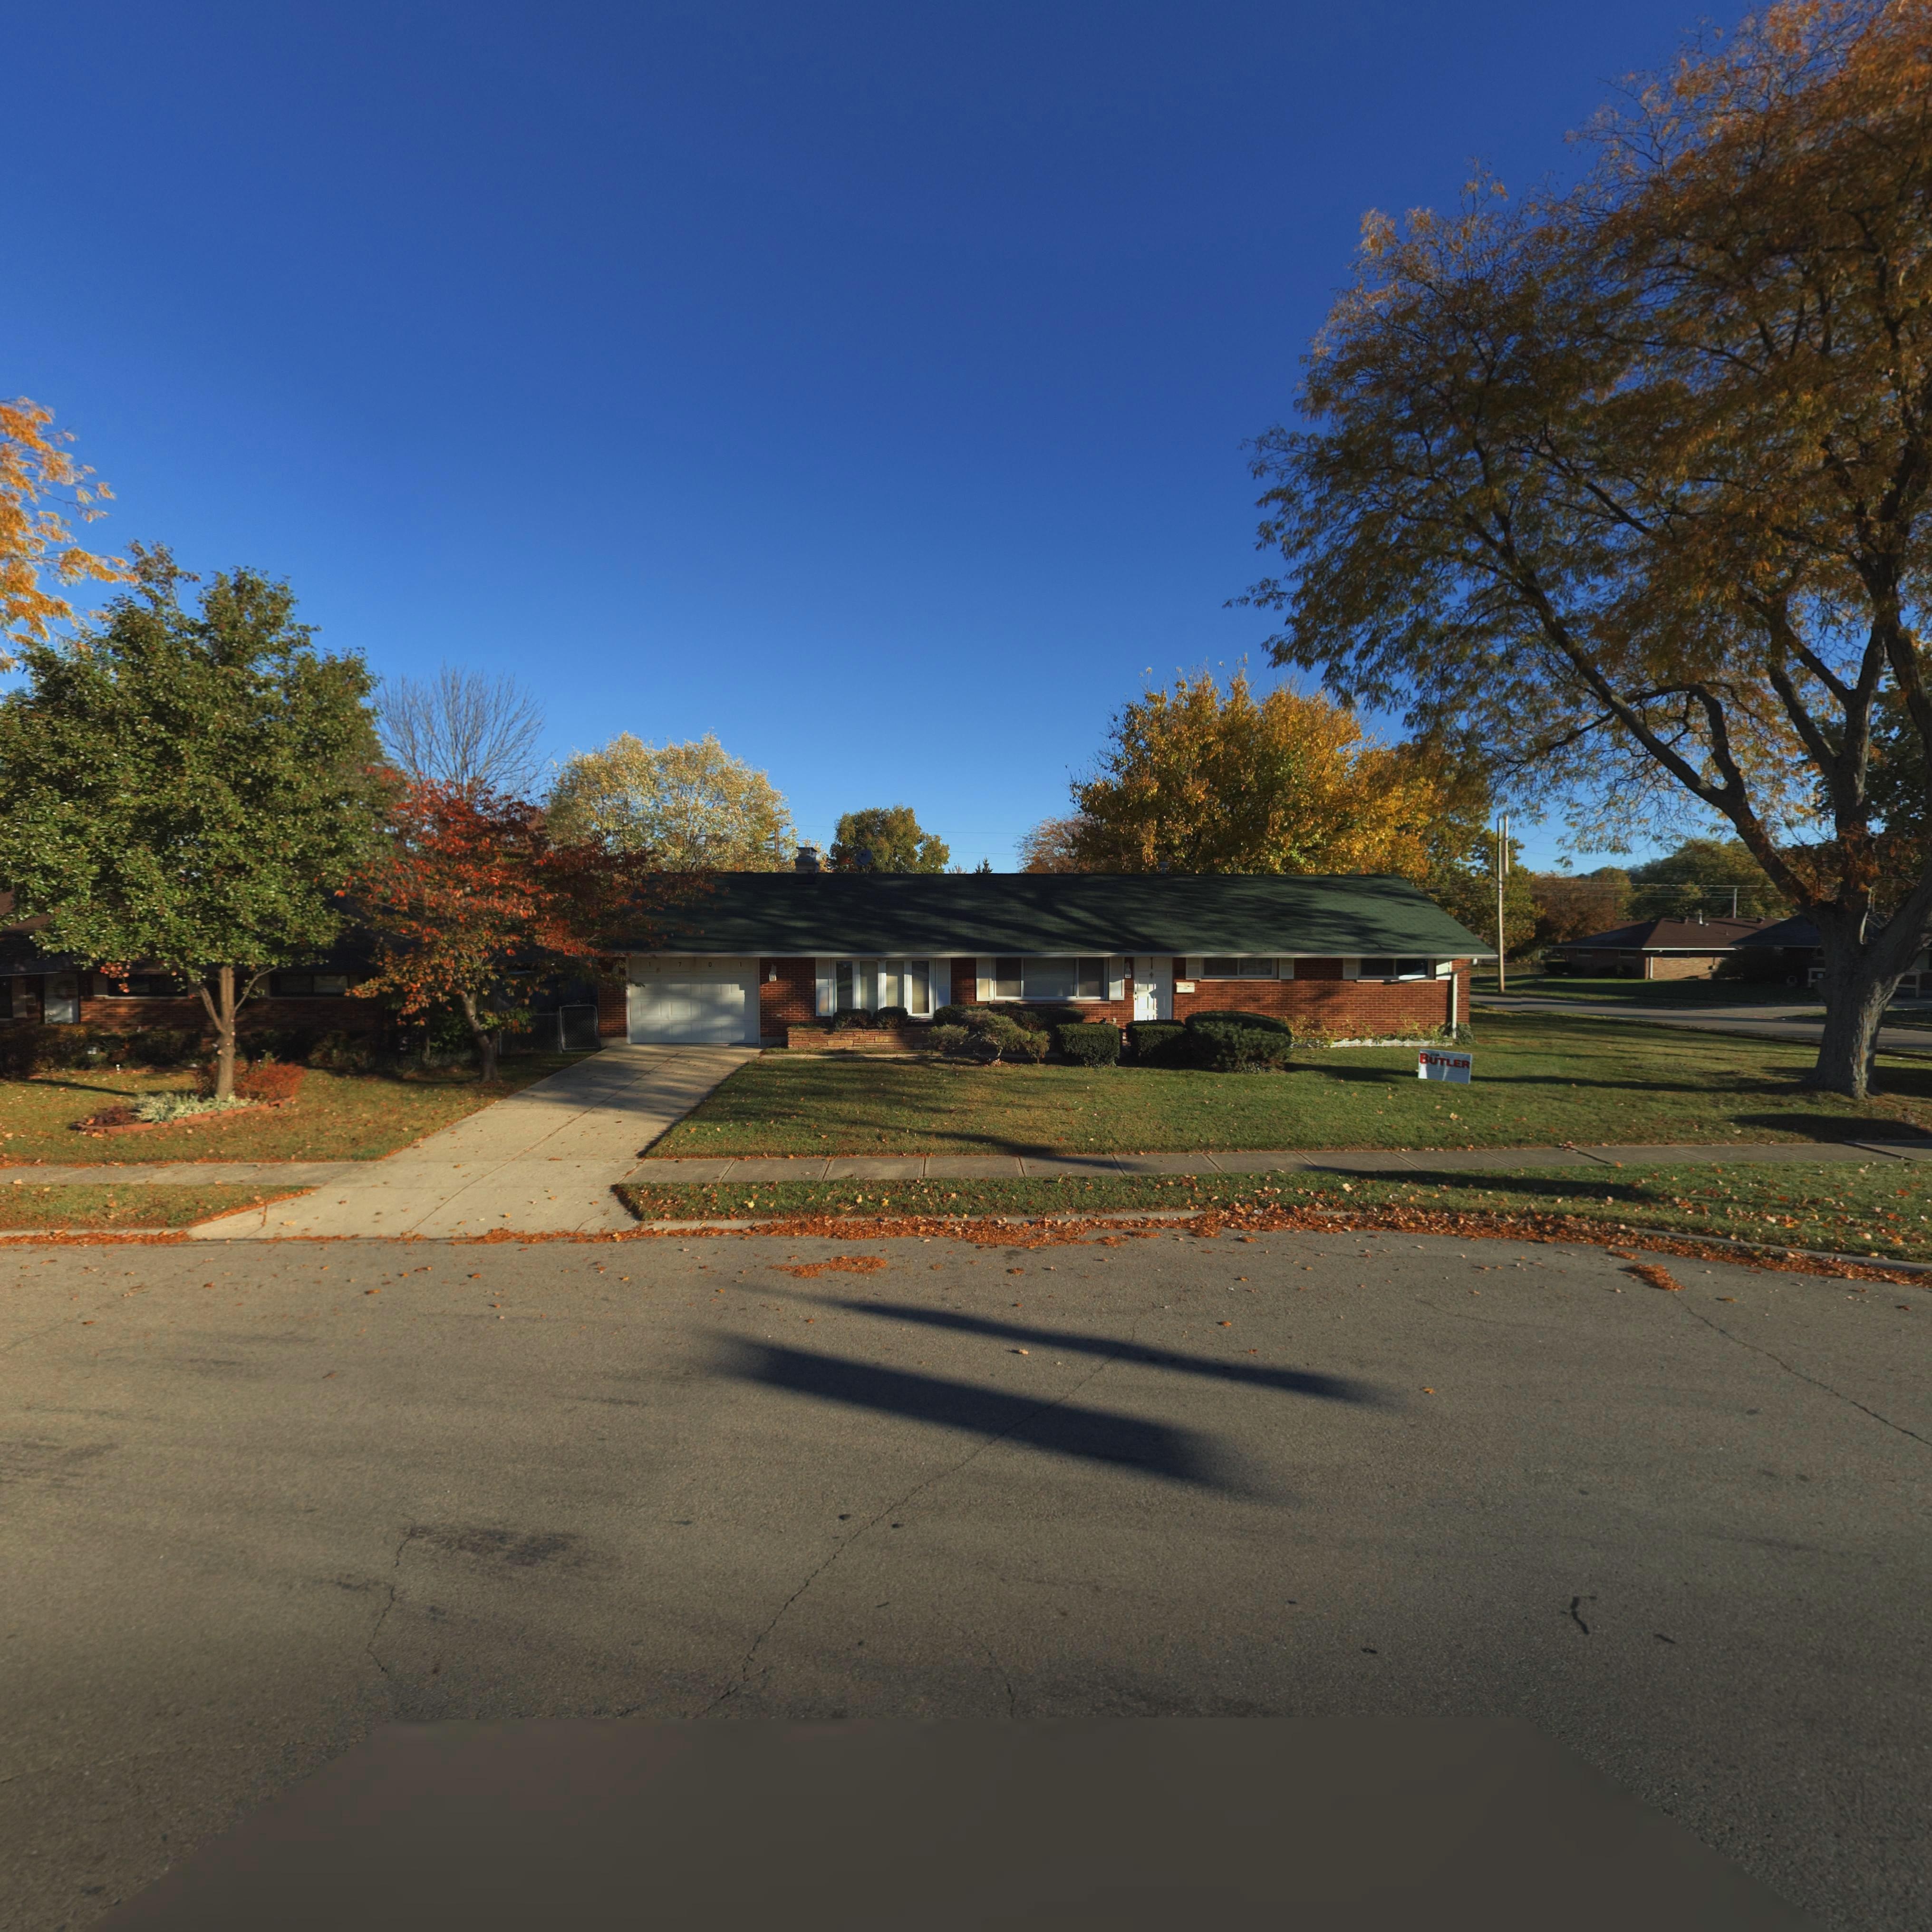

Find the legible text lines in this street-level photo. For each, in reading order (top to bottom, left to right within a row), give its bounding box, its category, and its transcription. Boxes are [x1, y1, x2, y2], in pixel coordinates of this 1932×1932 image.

[647, 961, 742, 968] StreetNumber: 1701